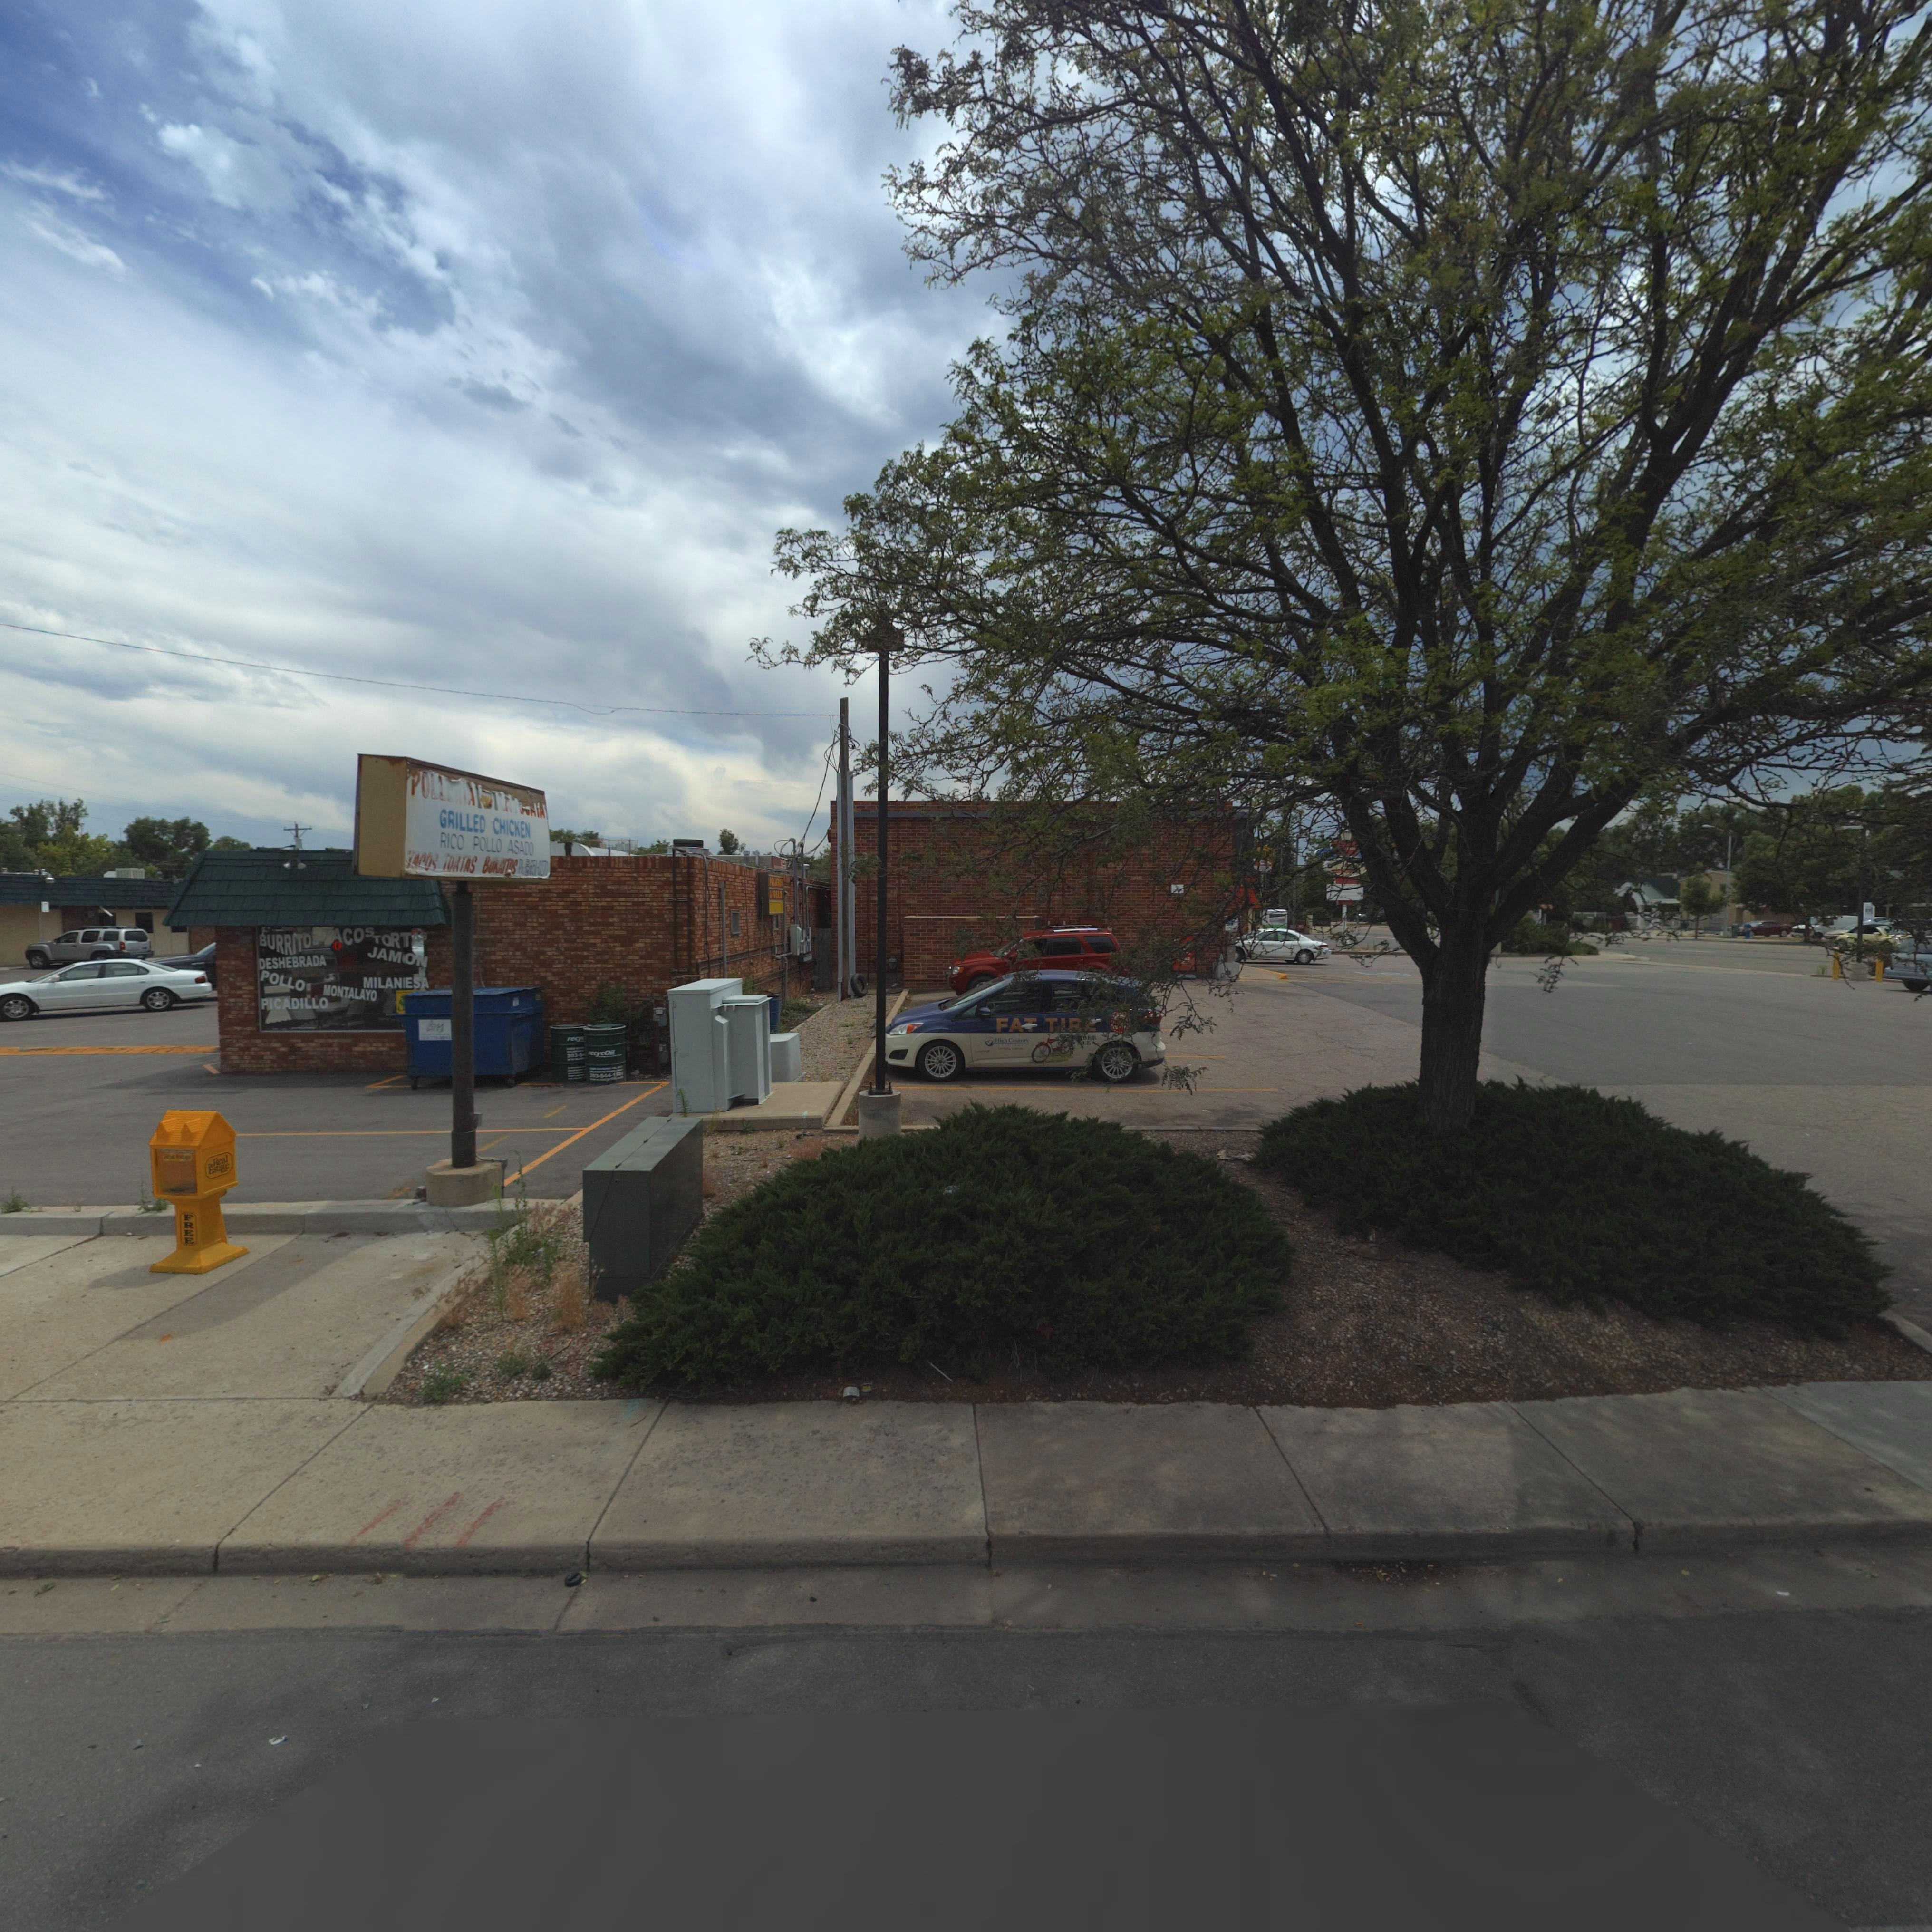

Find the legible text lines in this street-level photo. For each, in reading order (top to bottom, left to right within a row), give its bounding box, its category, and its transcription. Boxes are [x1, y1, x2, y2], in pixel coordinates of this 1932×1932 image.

[410, 767, 546, 820] BusinessName: POLL**** ** ******
[769, 876, 783, 887] BusinessName: ****E***